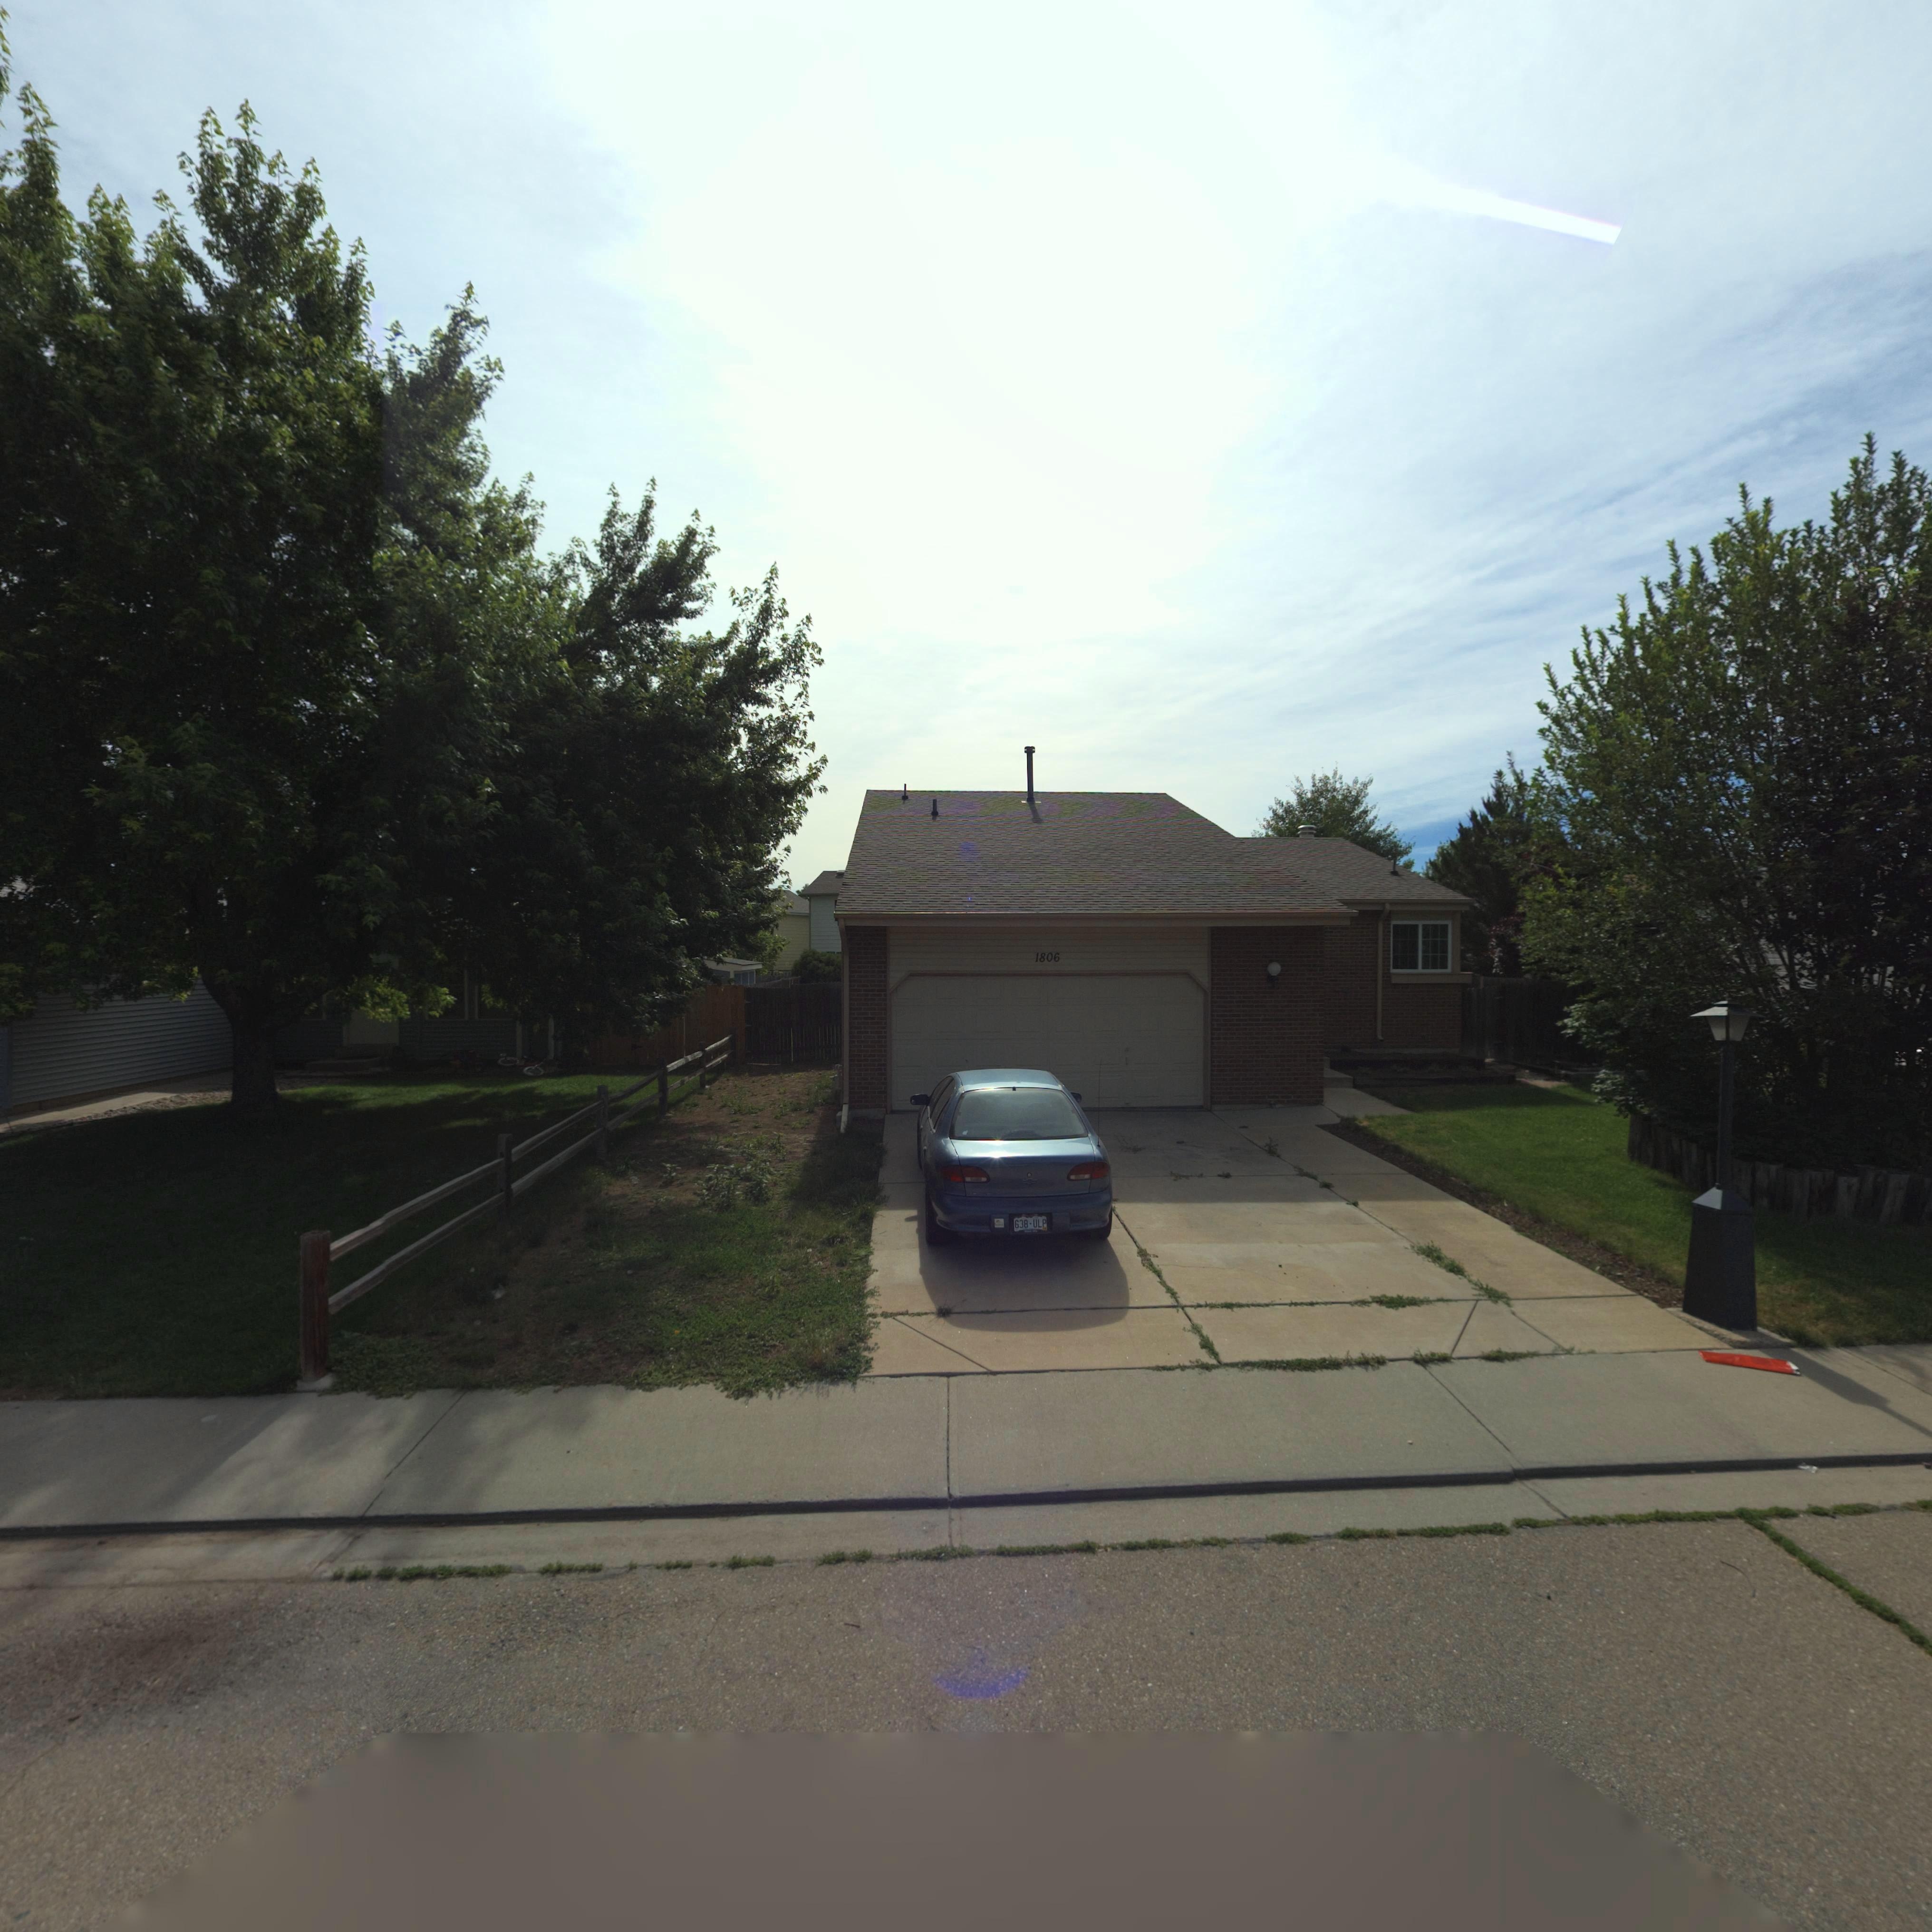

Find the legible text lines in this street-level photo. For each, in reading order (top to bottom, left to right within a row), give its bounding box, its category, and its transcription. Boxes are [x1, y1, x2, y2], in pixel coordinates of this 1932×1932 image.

[1034, 951, 1061, 962] StreetNumber: 1806